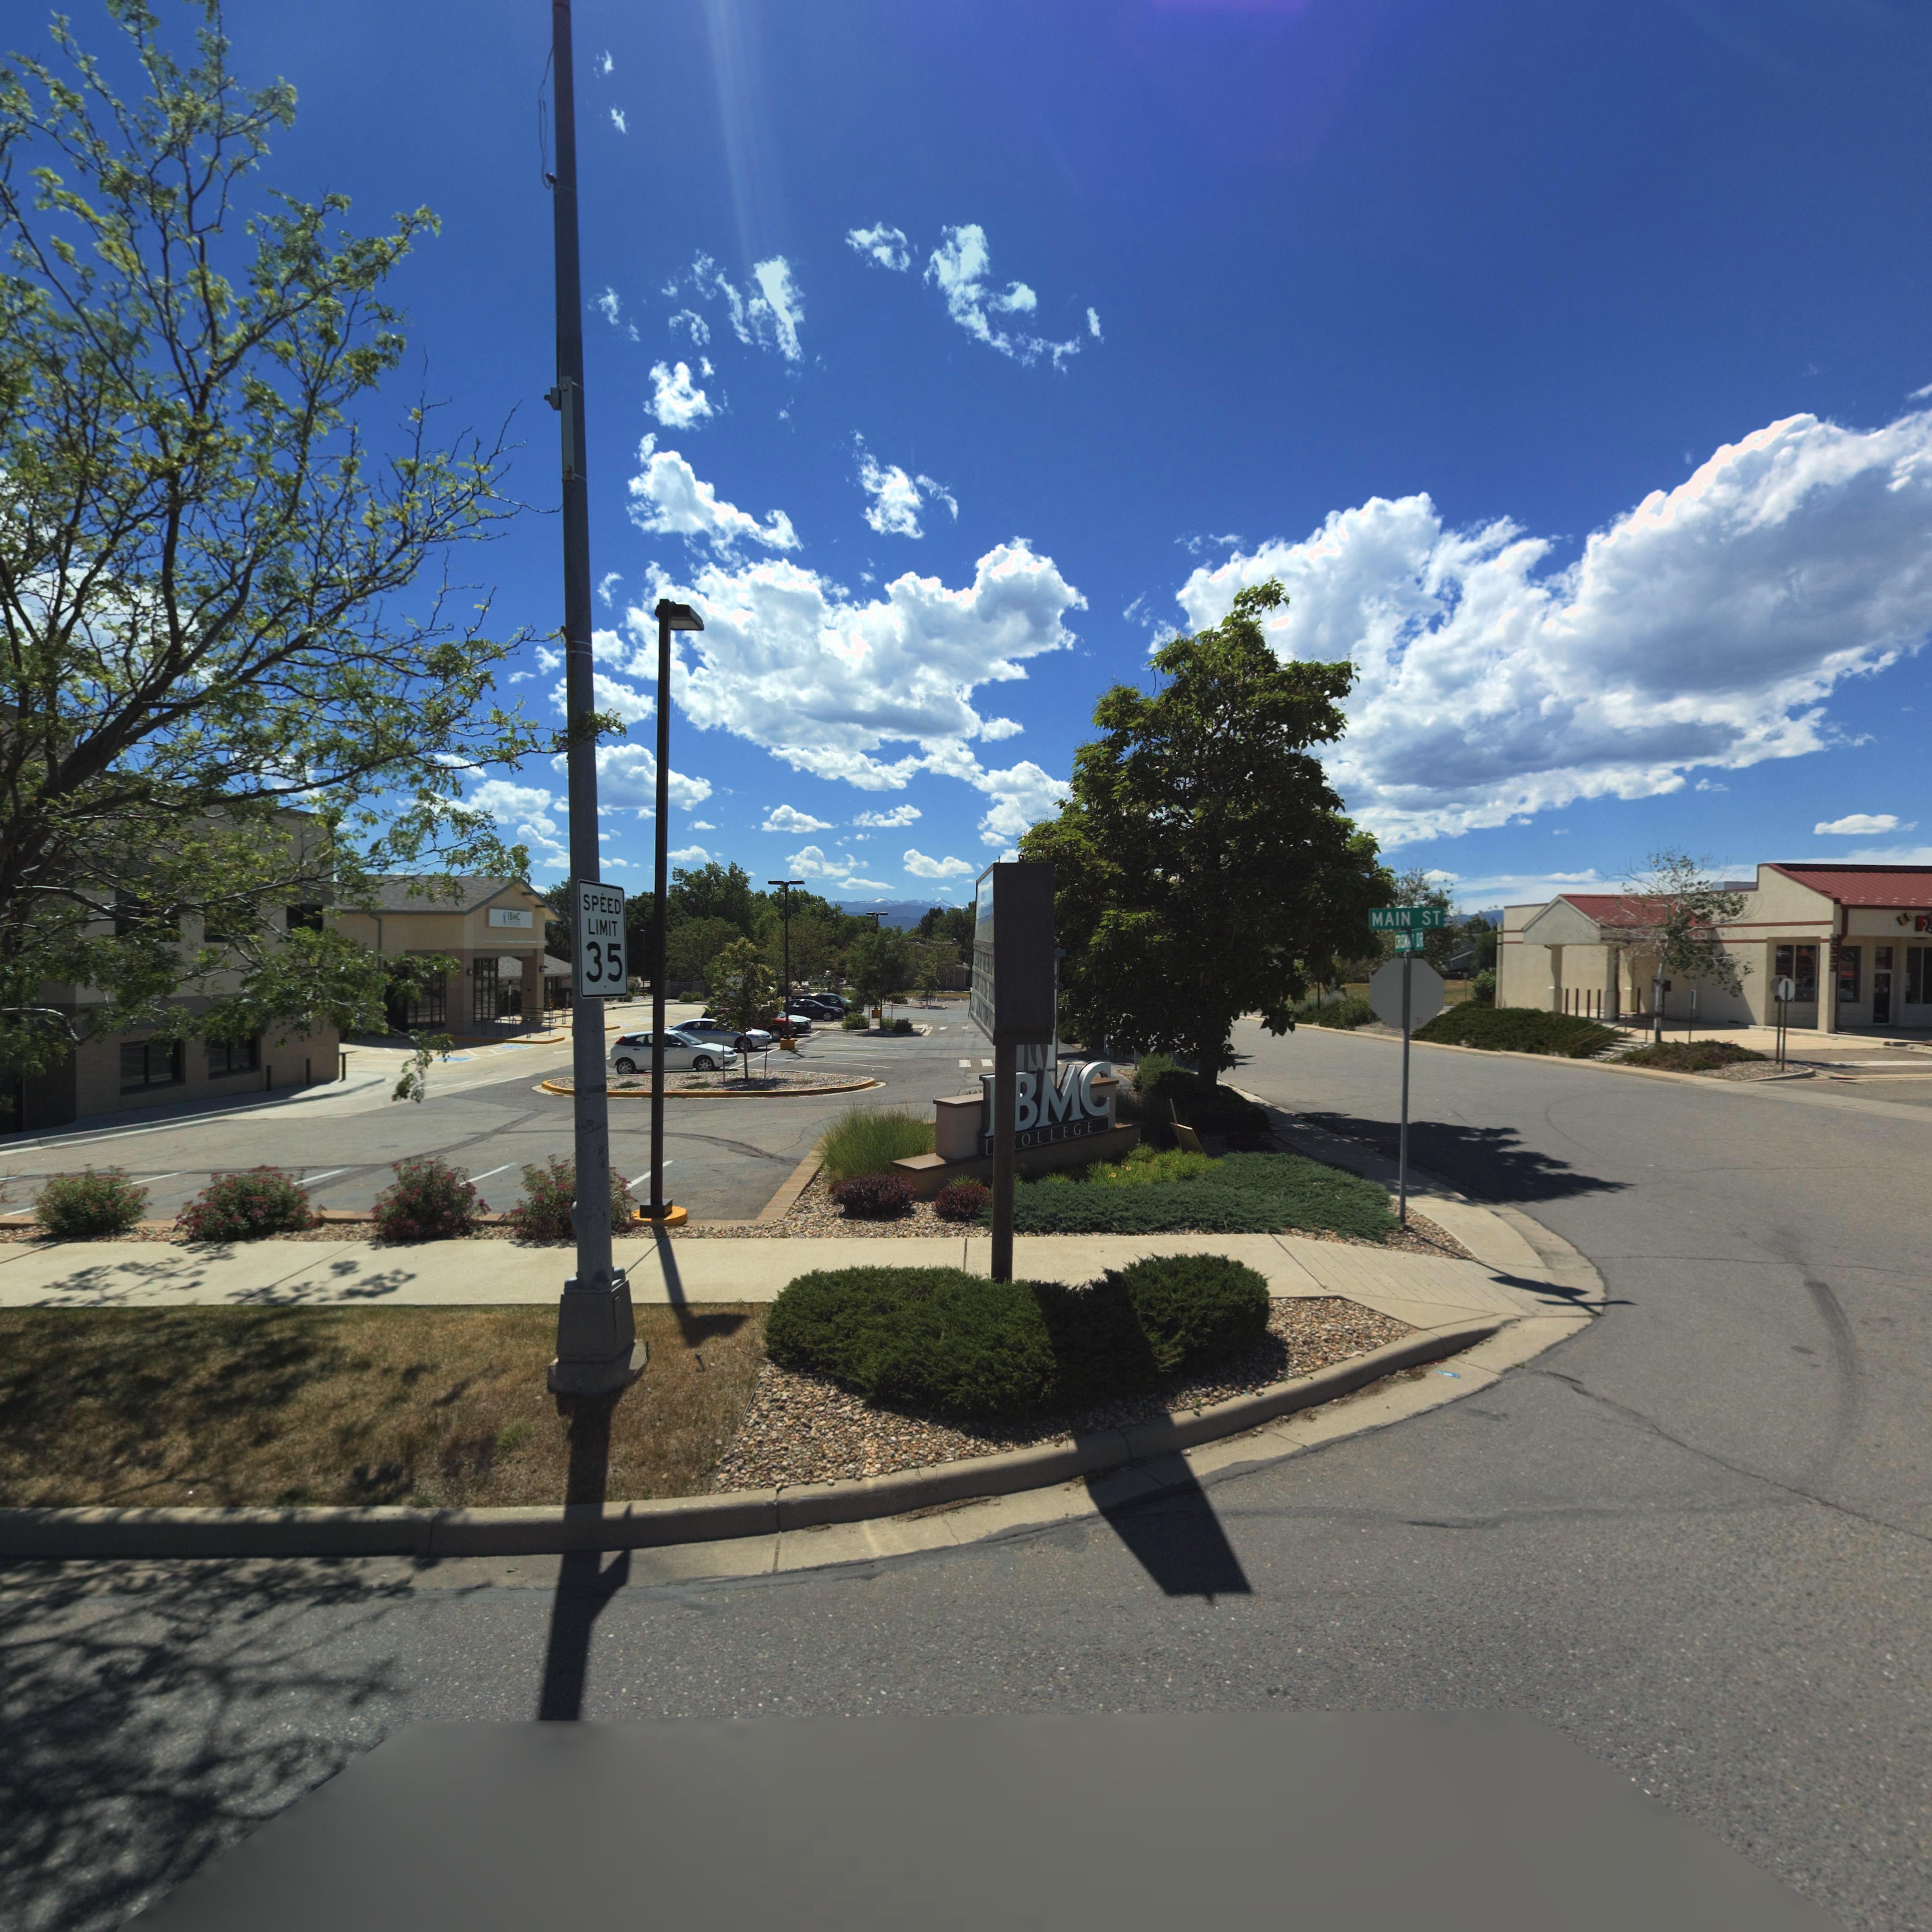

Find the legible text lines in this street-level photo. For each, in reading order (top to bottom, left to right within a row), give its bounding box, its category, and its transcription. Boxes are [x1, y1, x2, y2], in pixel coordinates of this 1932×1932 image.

[507, 911, 521, 920] BusinessName: IBMC
[1371, 909, 1441, 927] StreetName: MAIN ST
[1896, 910, 1915, 927] BusinessName: EL
[1915, 915, 1927, 932] BusinessName: F
[1394, 932, 1424, 948] StreetName: CRIS*** DR
[977, 1058, 1112, 1140] BusinessName: IBMC
[1021, 1120, 1093, 1148] BusinessName: OLLEGE